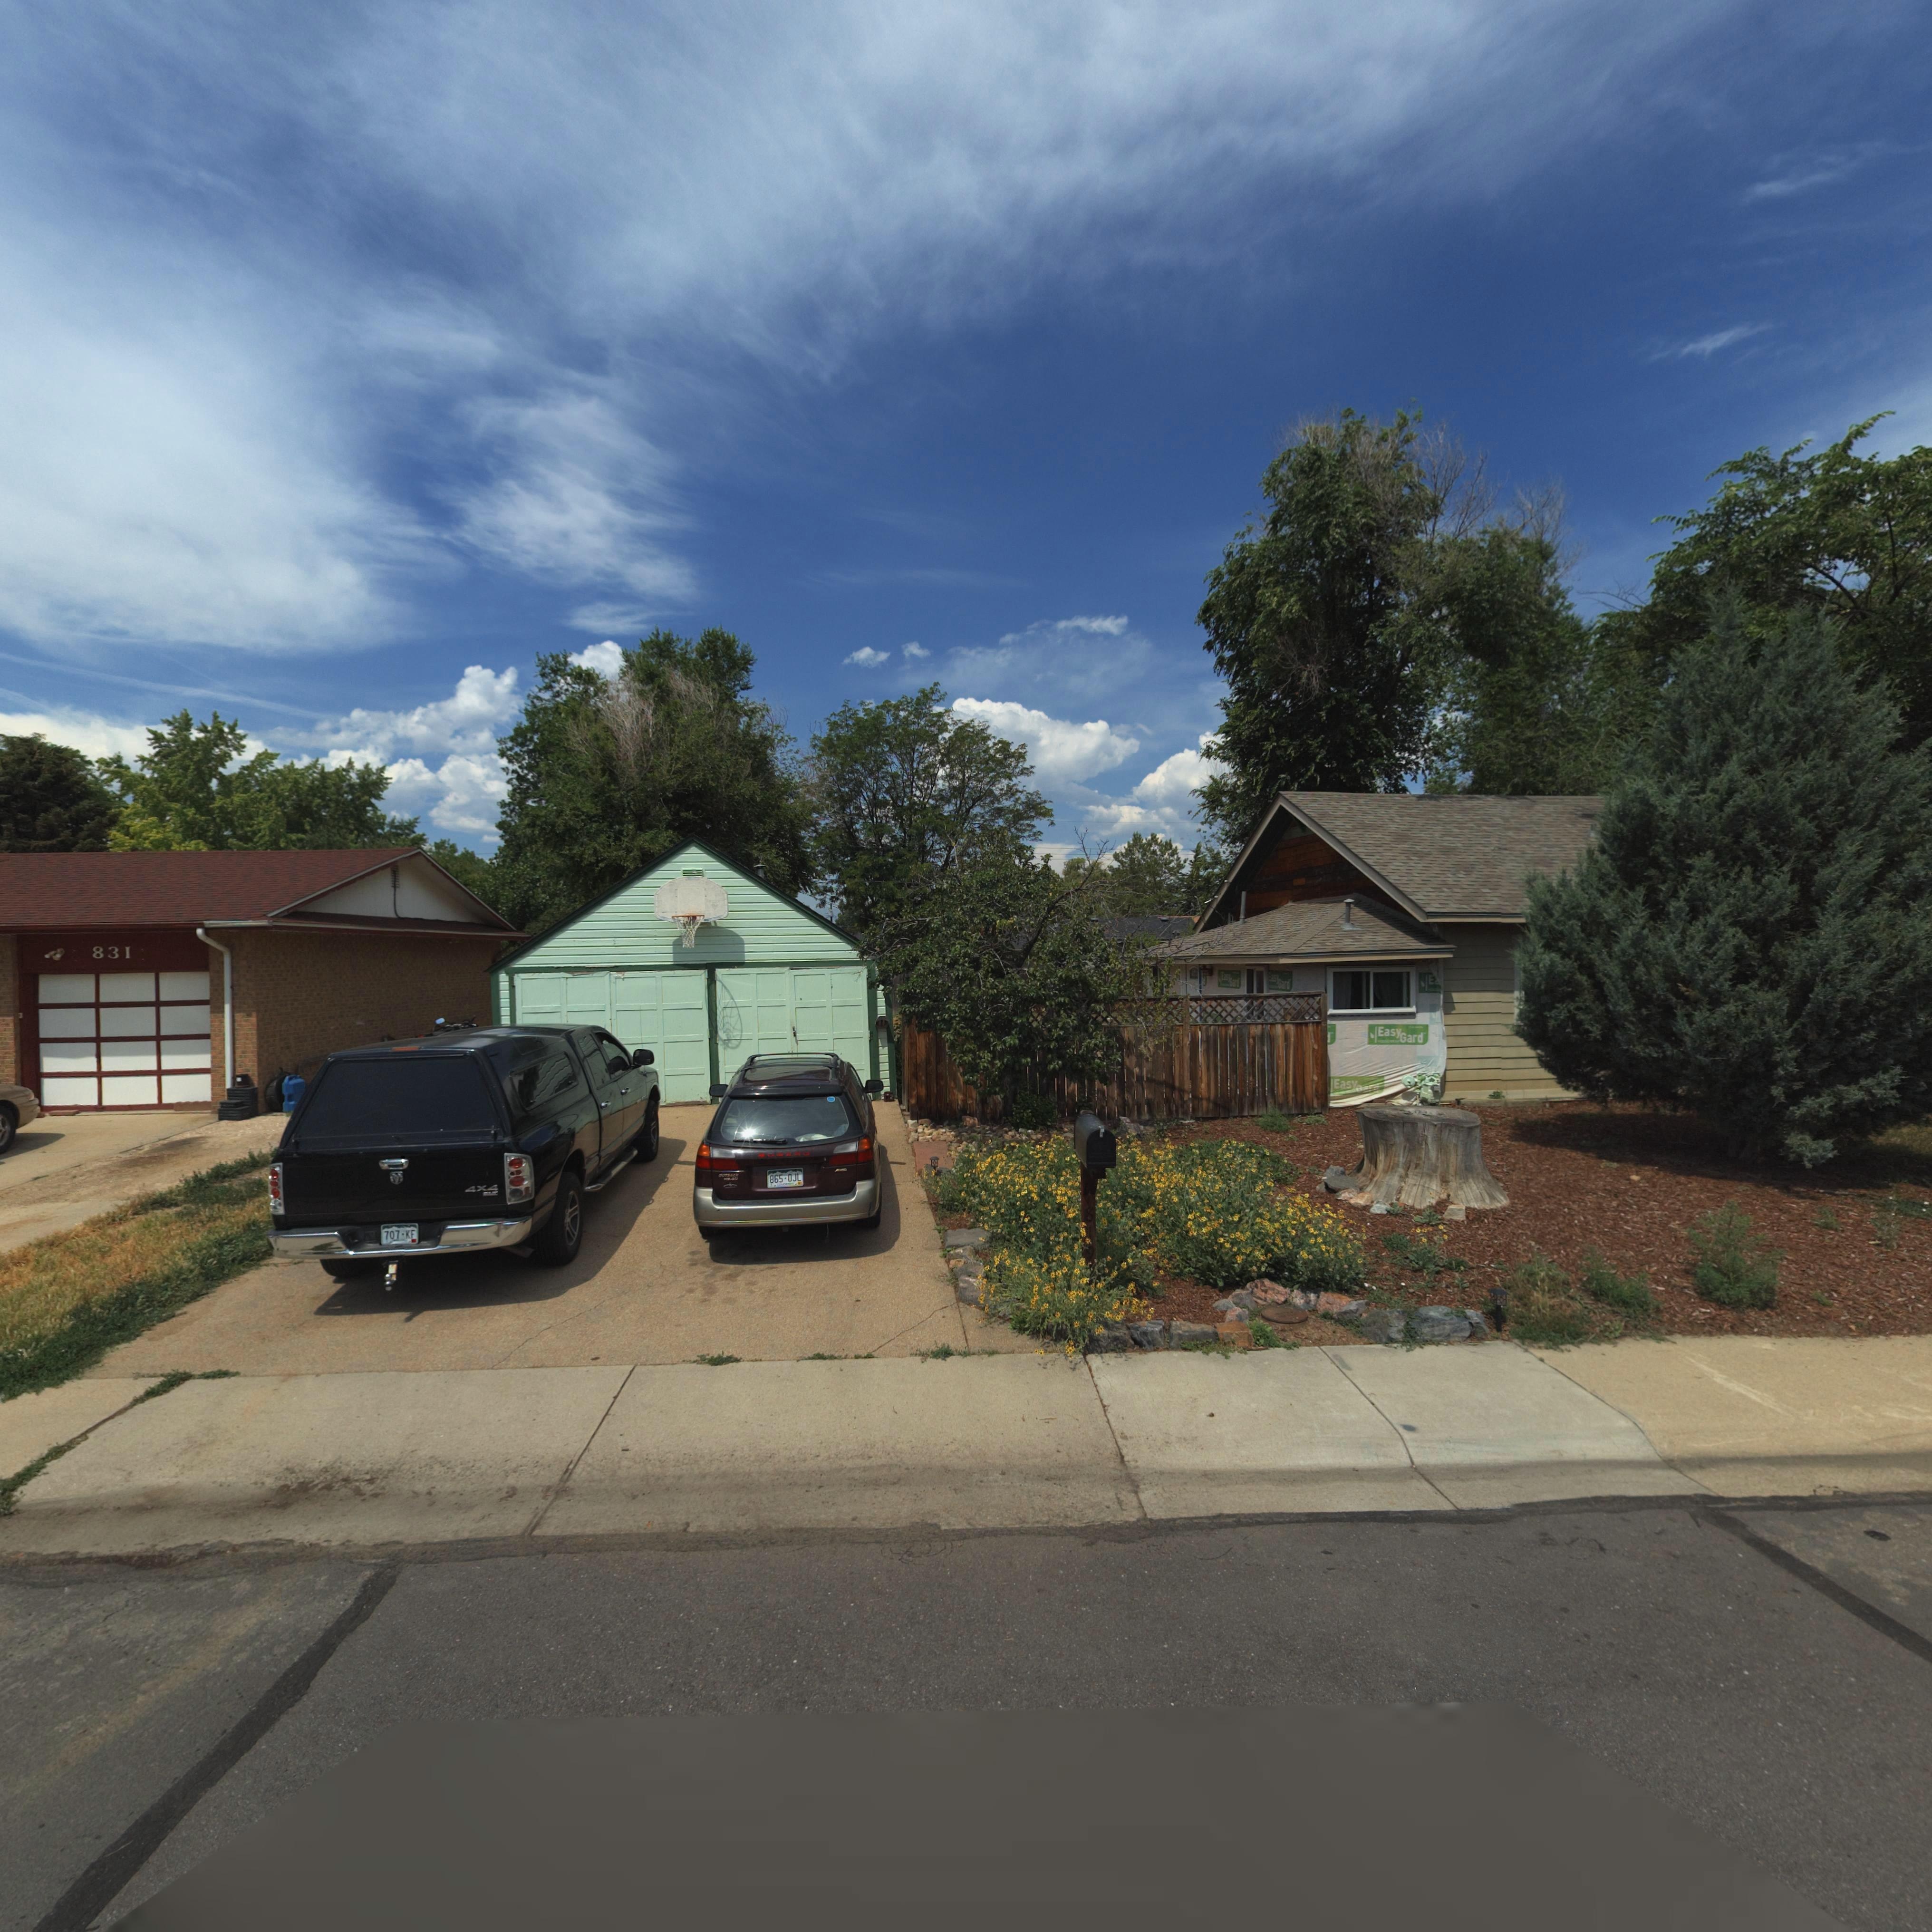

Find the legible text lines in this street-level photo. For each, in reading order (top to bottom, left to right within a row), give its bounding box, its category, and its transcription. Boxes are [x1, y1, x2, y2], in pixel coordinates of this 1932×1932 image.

[93, 946, 130, 959] StreetNumber: 831